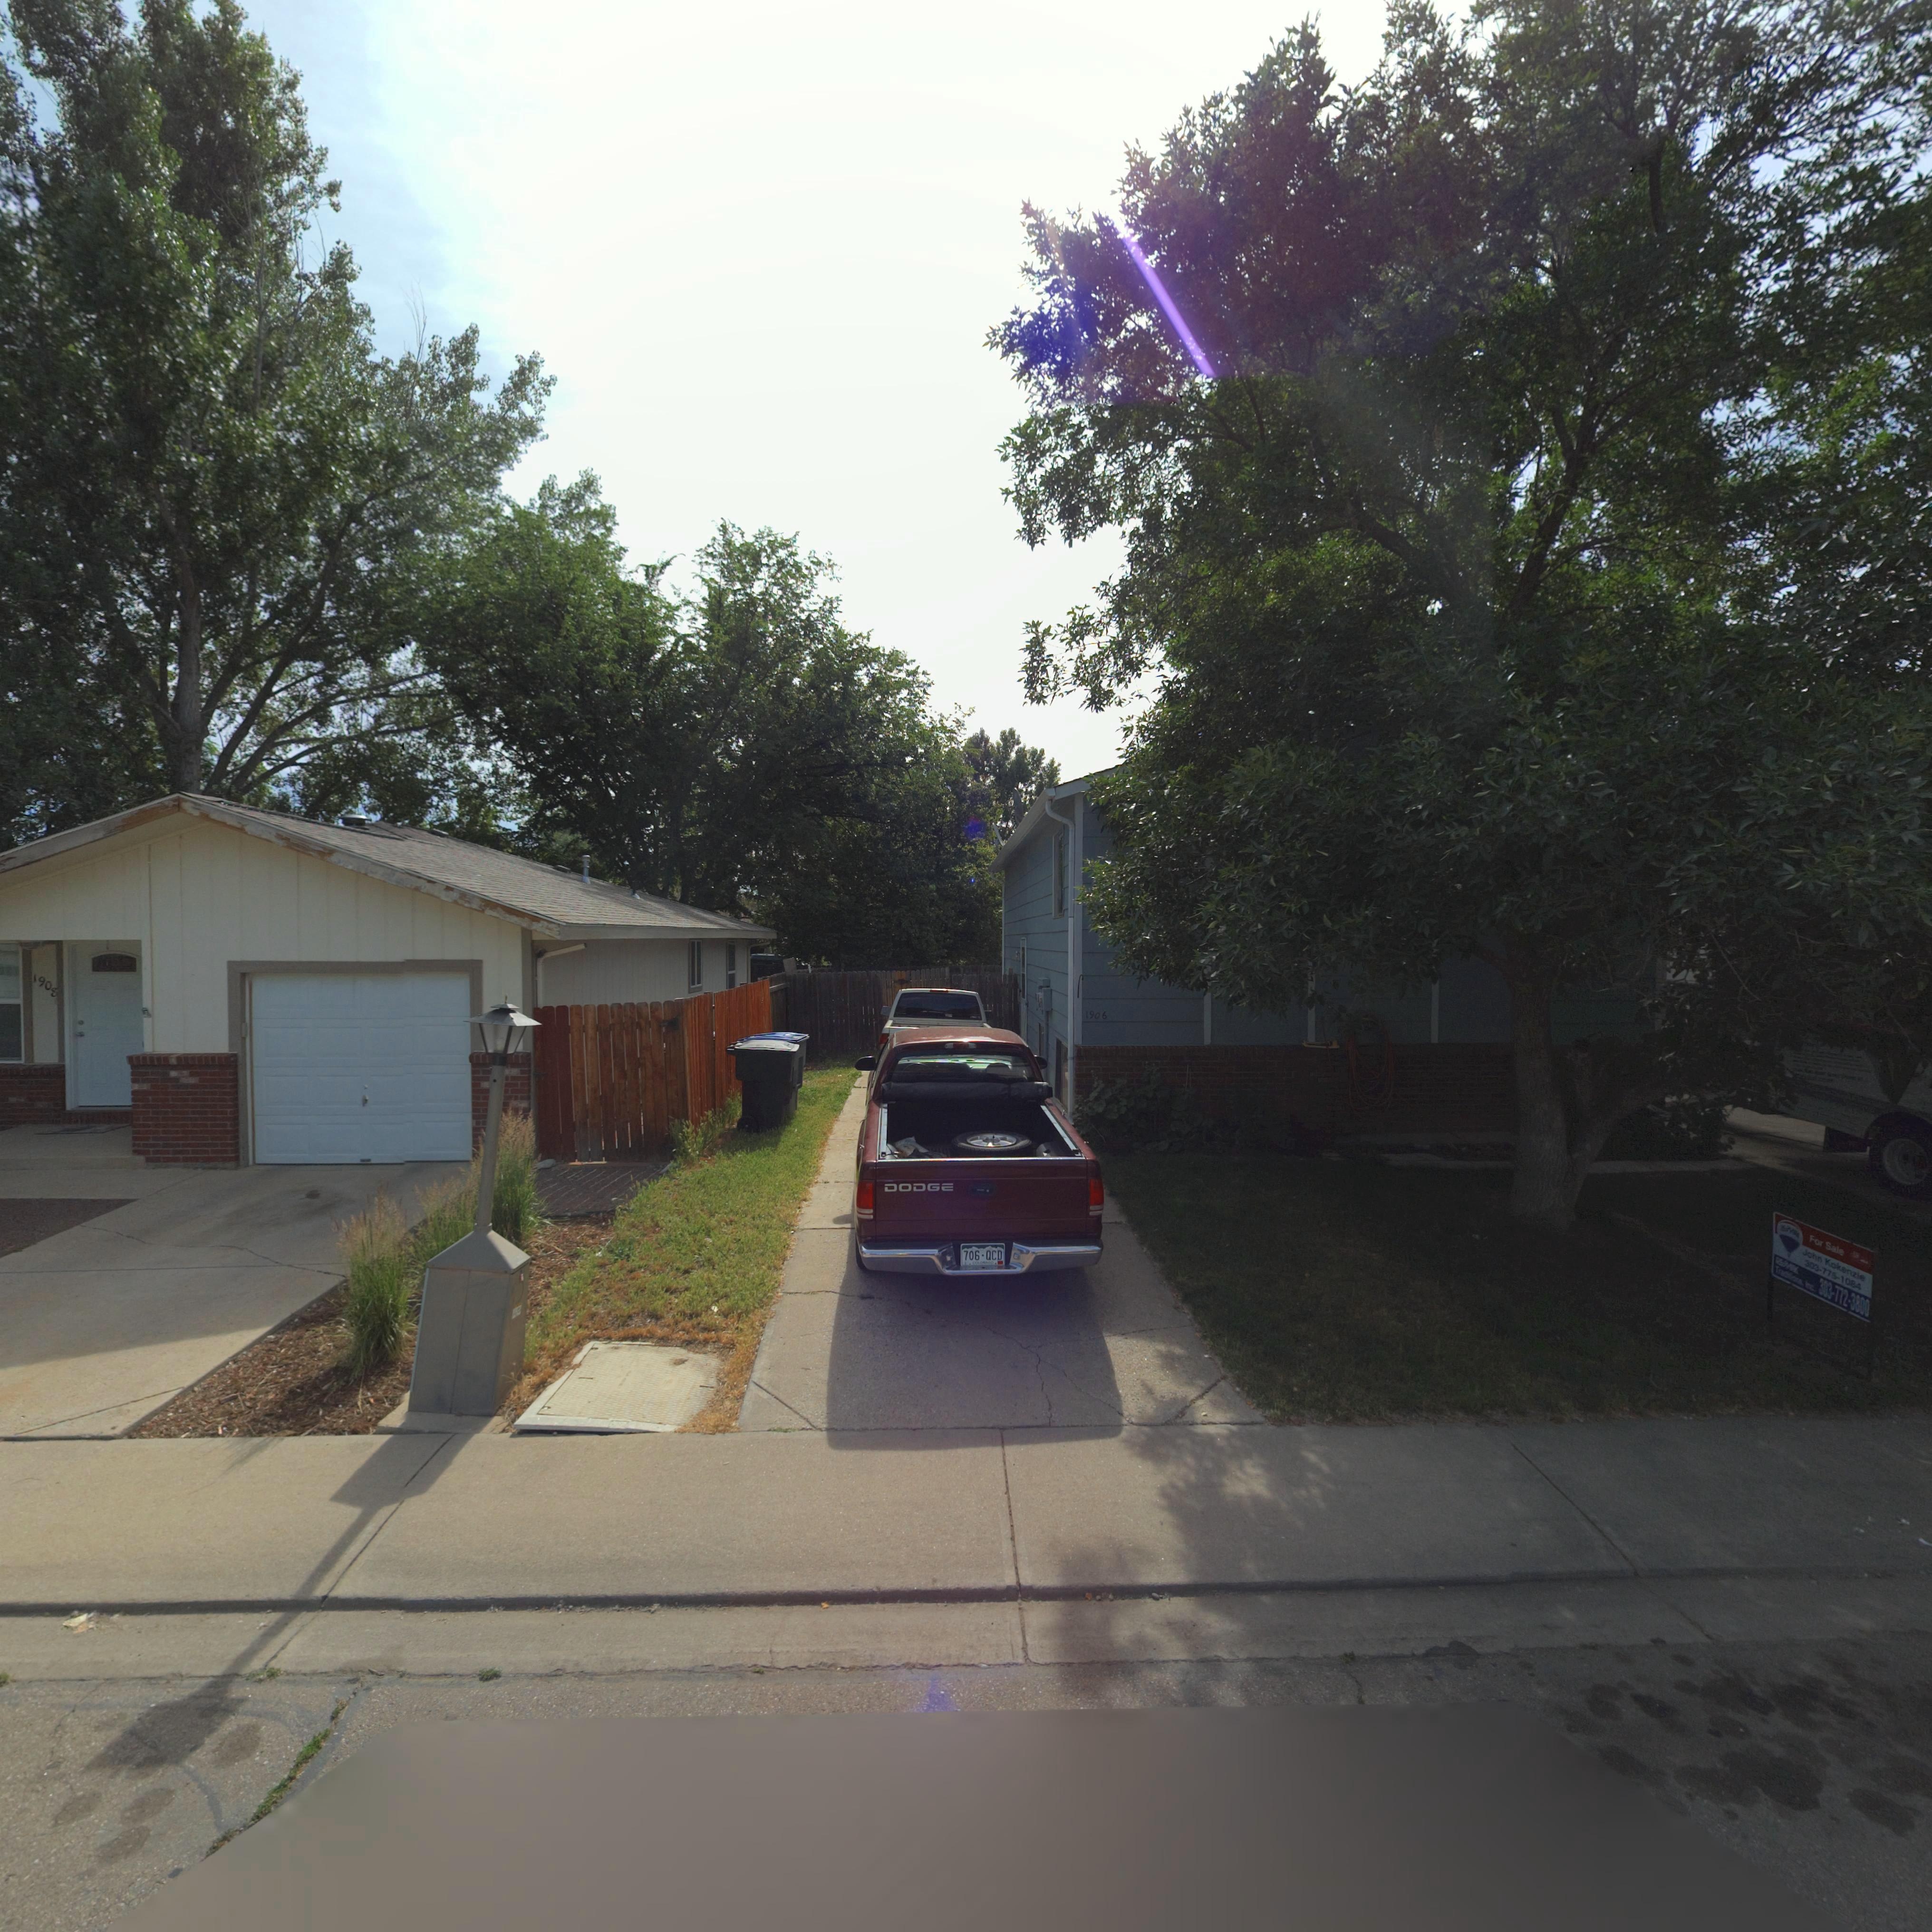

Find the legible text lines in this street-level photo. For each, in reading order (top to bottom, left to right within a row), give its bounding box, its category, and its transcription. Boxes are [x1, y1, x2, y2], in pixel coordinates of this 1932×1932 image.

[33, 973, 59, 998] StreetNumber: 1908
[1085, 1010, 1108, 1020] StreetNumber: 1906